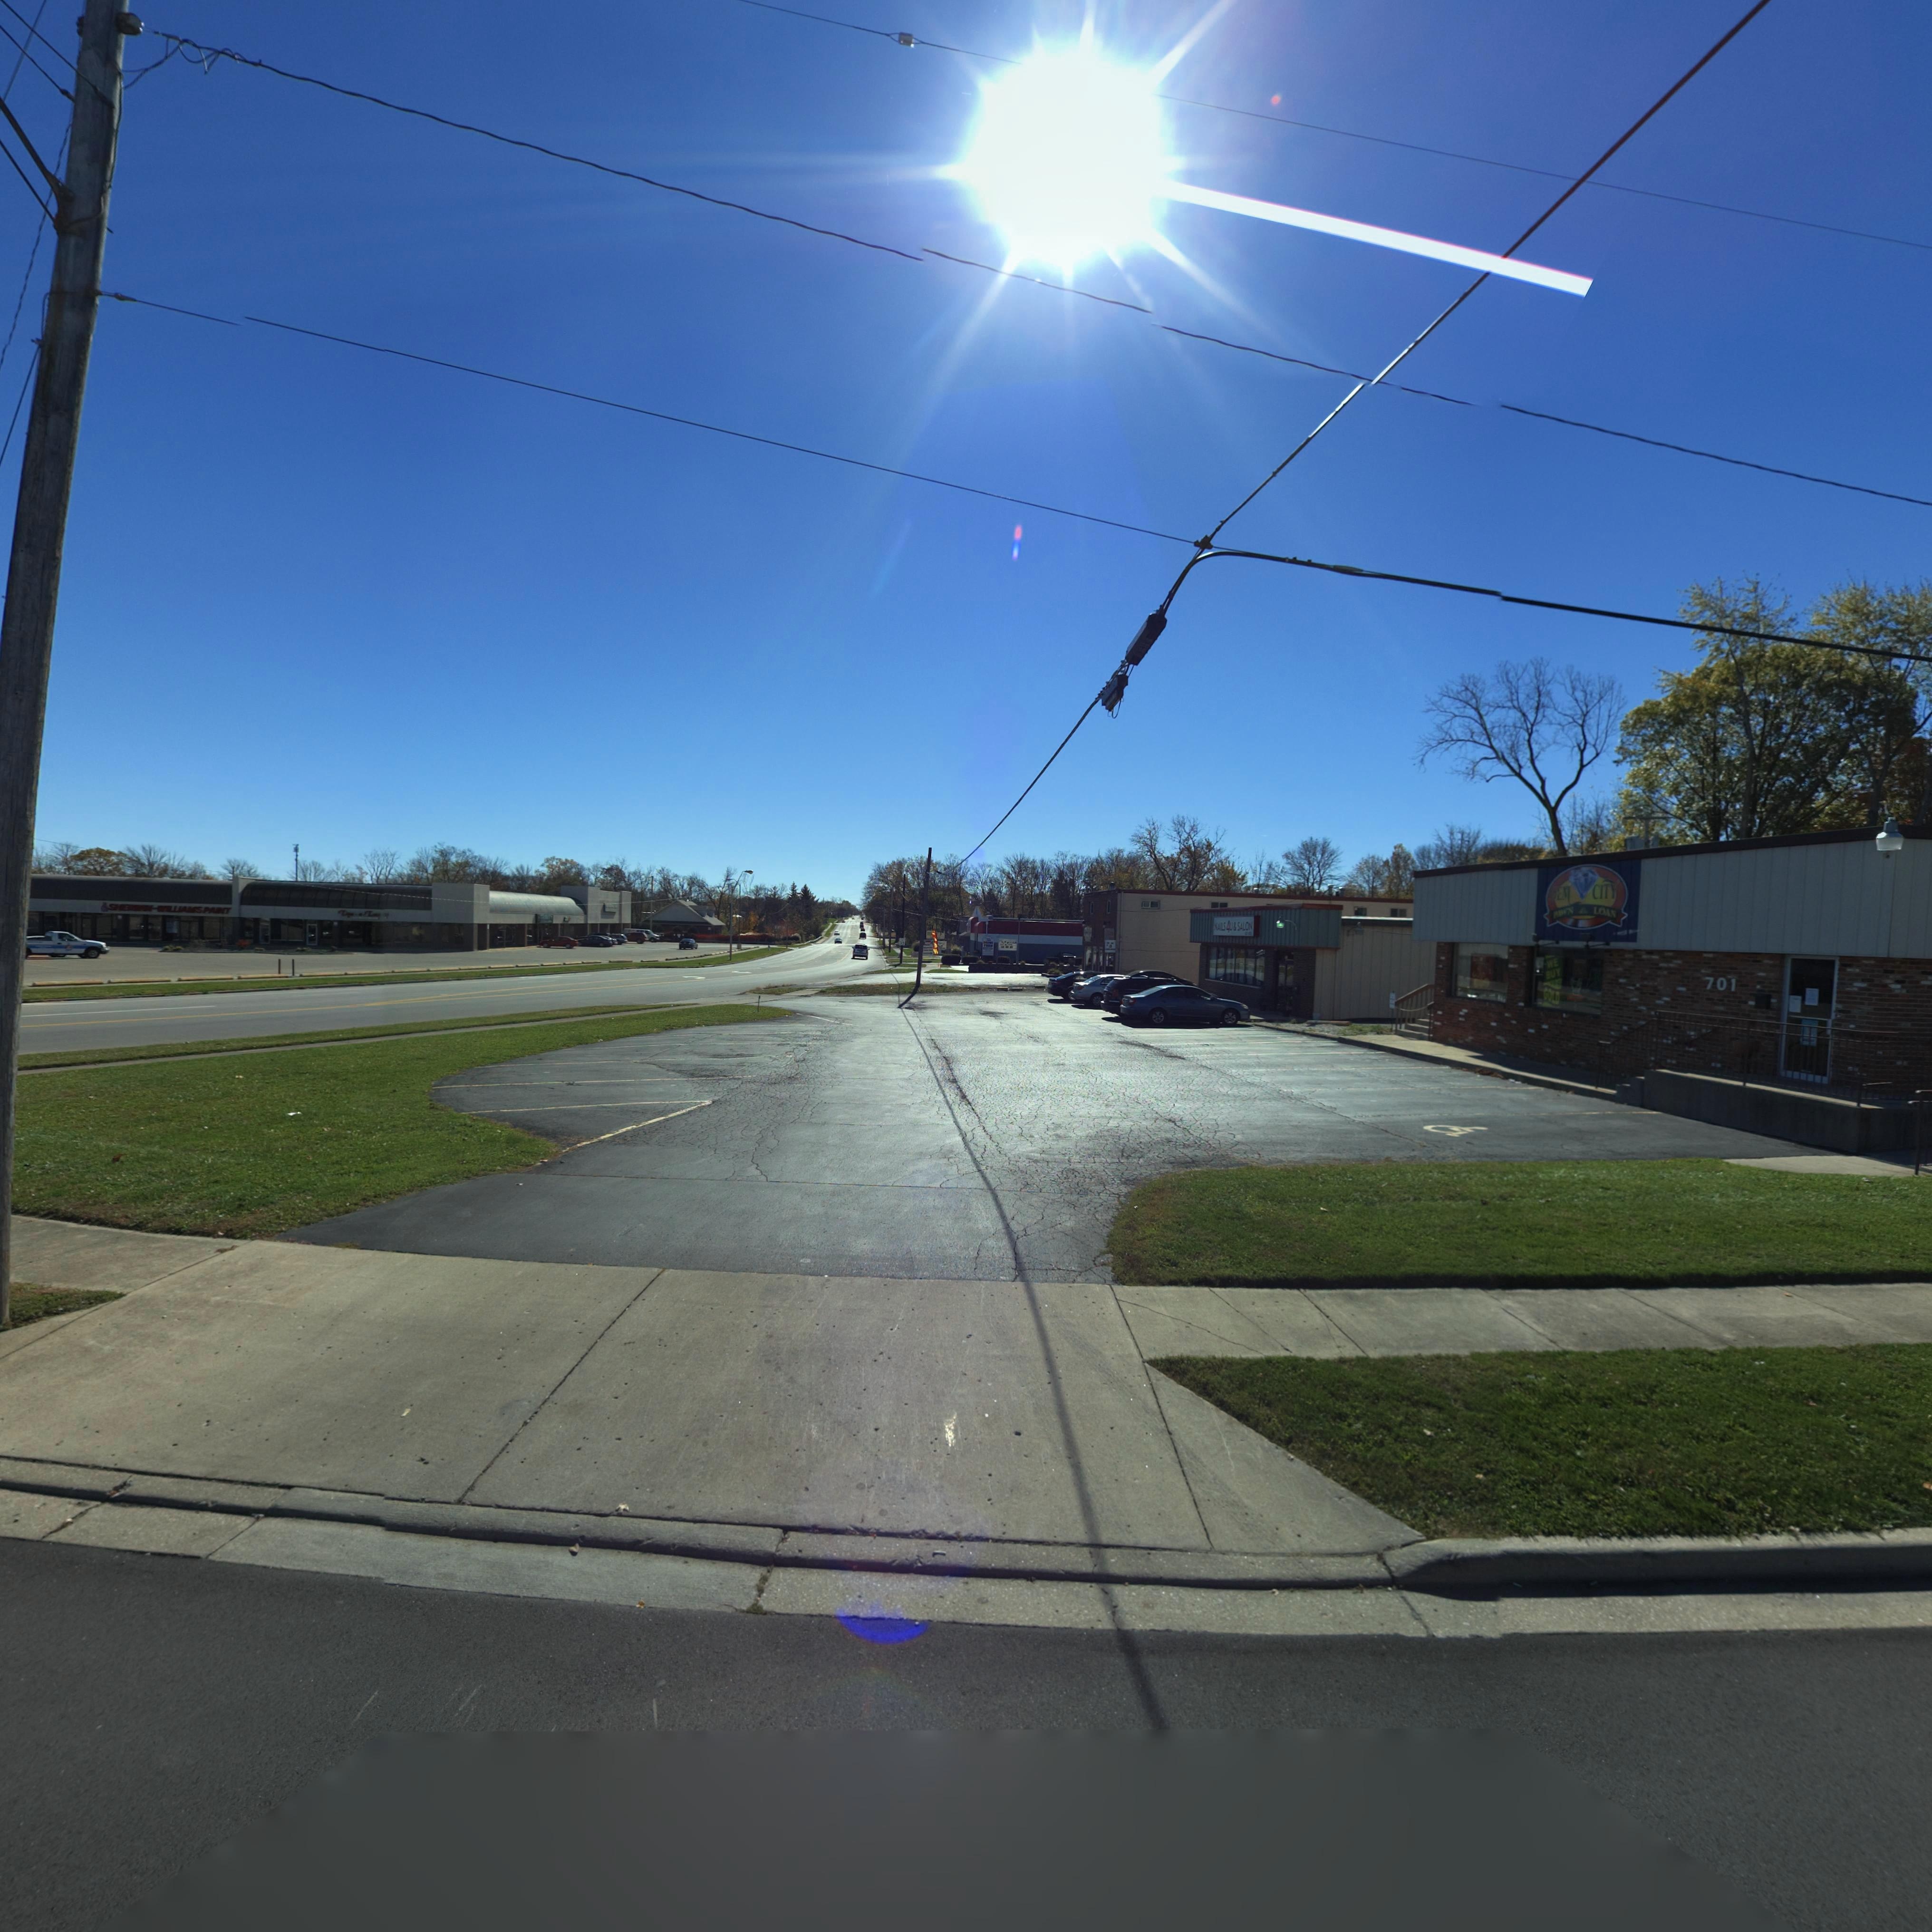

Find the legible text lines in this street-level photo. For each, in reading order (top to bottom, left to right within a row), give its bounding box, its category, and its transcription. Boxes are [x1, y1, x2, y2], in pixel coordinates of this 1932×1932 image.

[1704, 976, 1737, 993] StreetNumber: 701